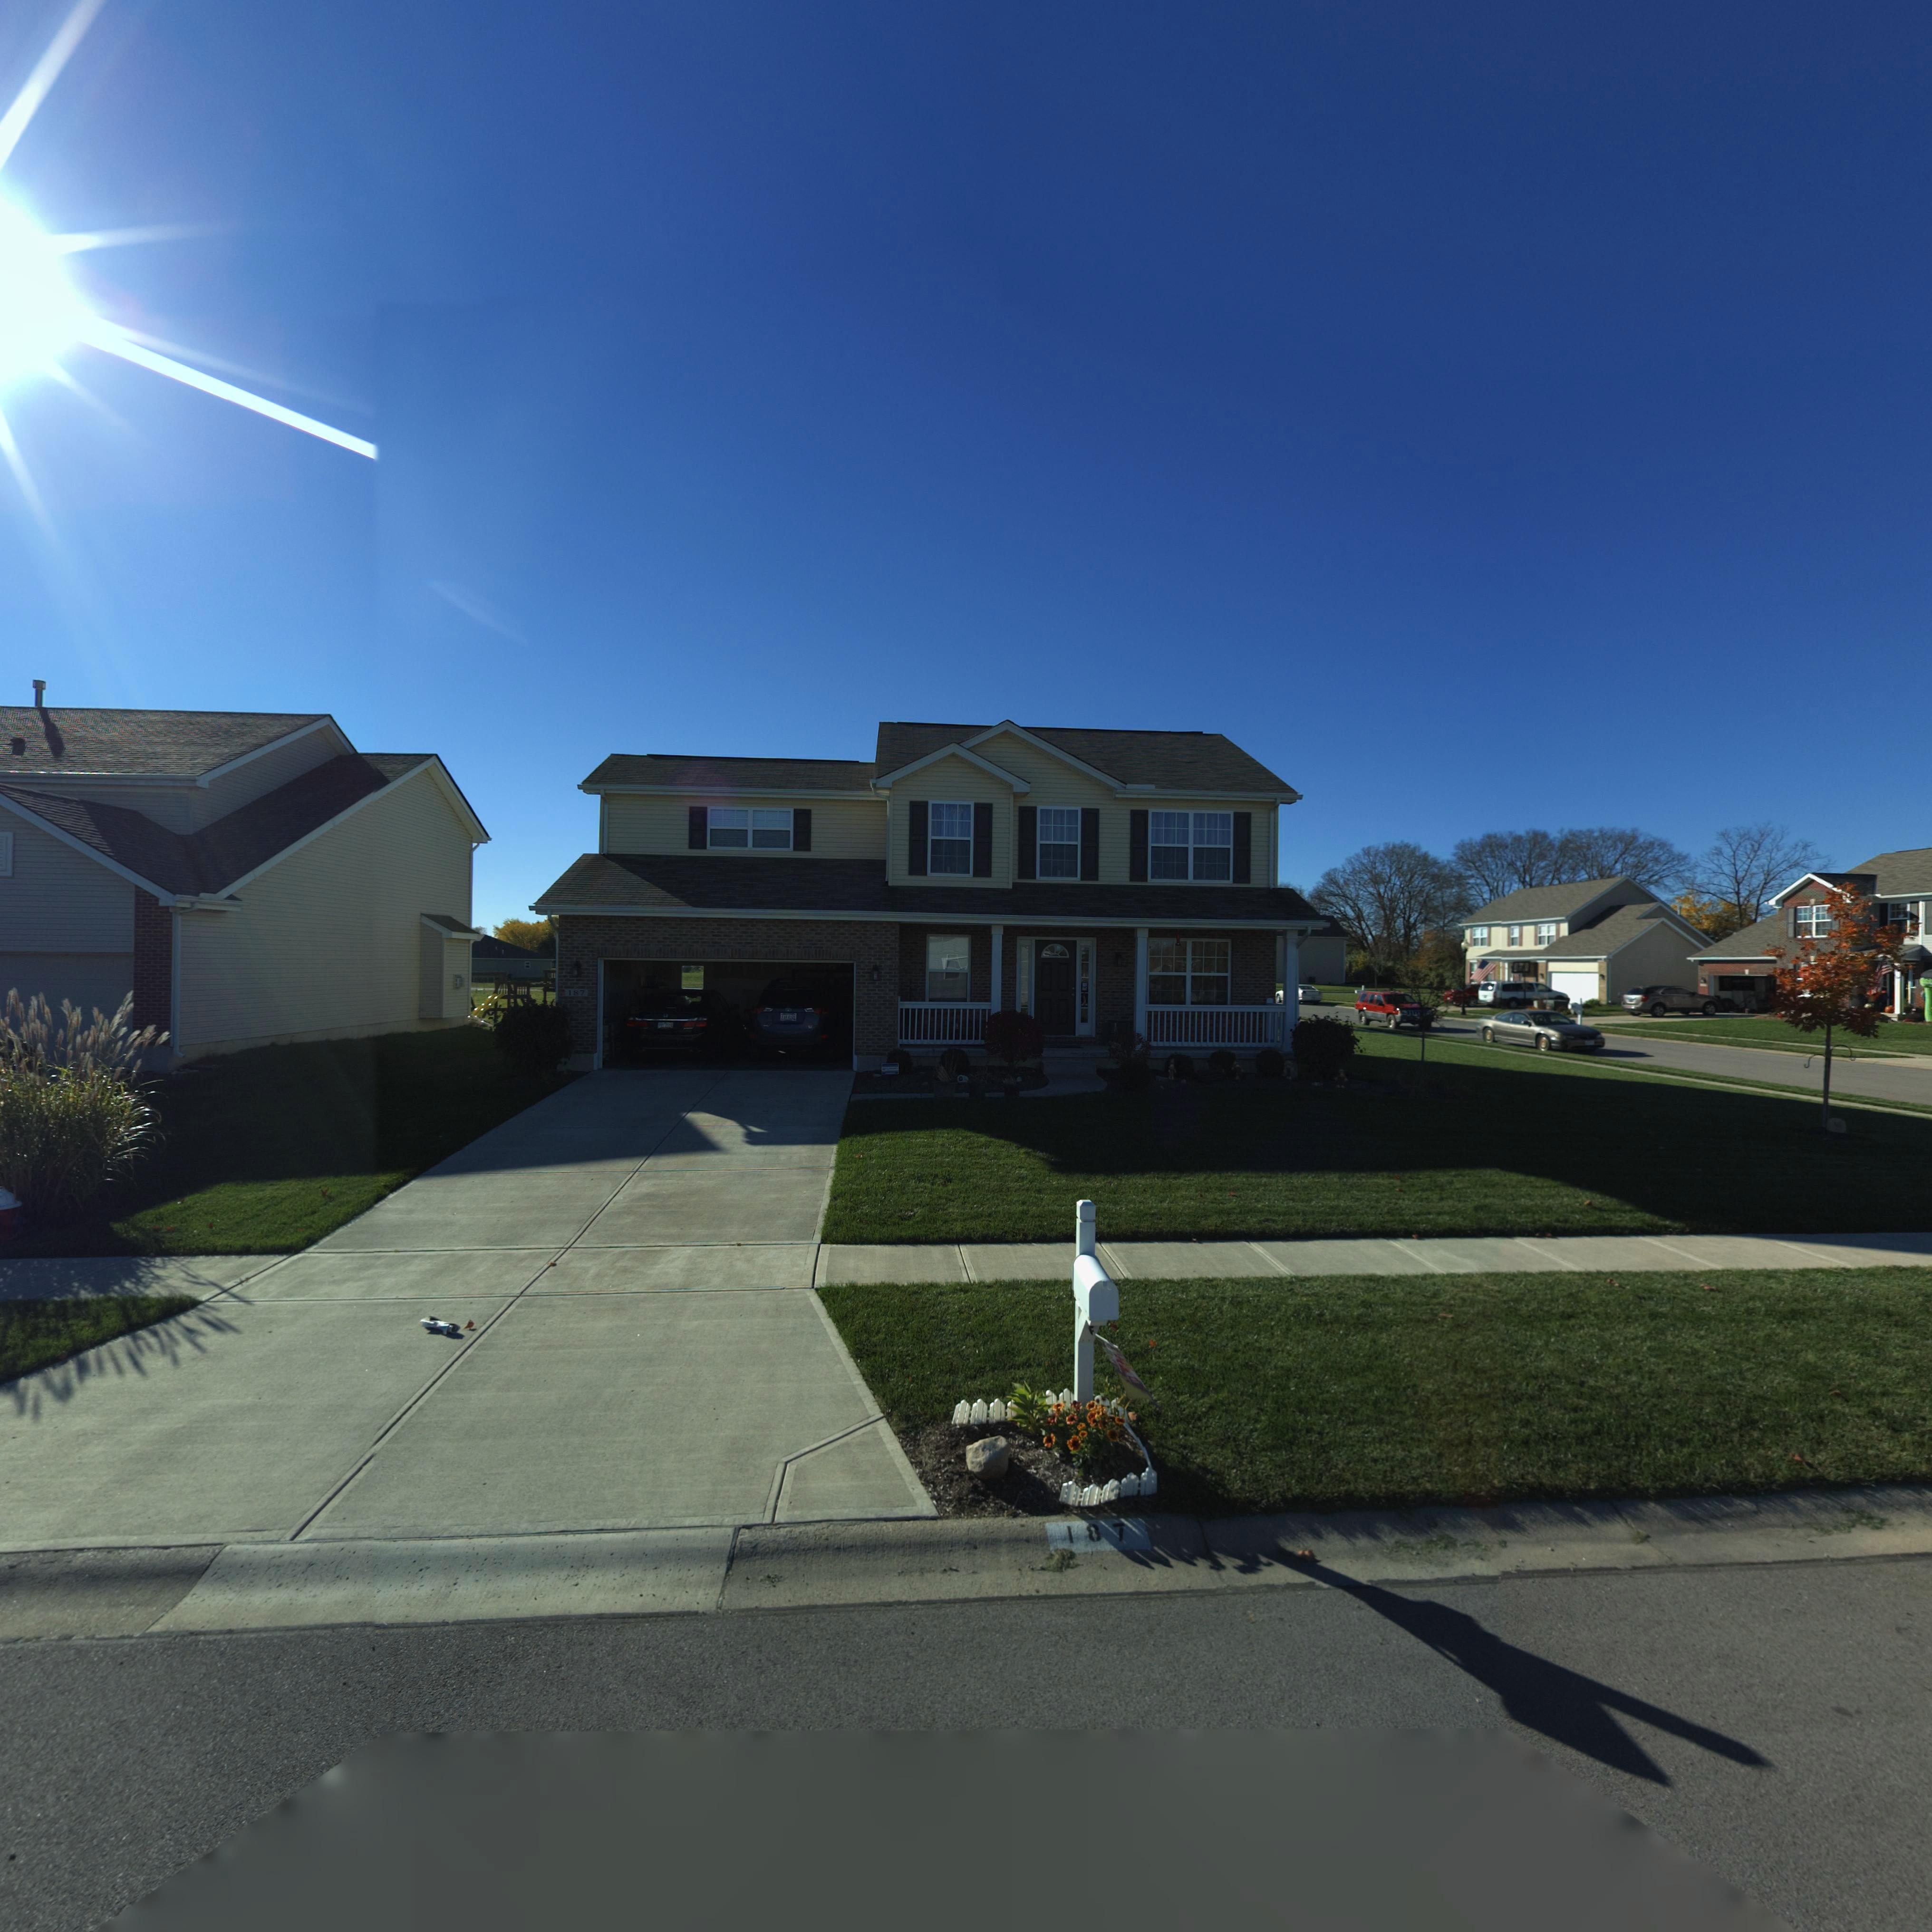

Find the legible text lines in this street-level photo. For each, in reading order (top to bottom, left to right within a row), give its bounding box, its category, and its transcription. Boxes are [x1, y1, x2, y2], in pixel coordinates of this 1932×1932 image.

[568, 989, 585, 996] StreetNumber: 187
[1064, 1521, 1127, 1545] StreetNumber: 187